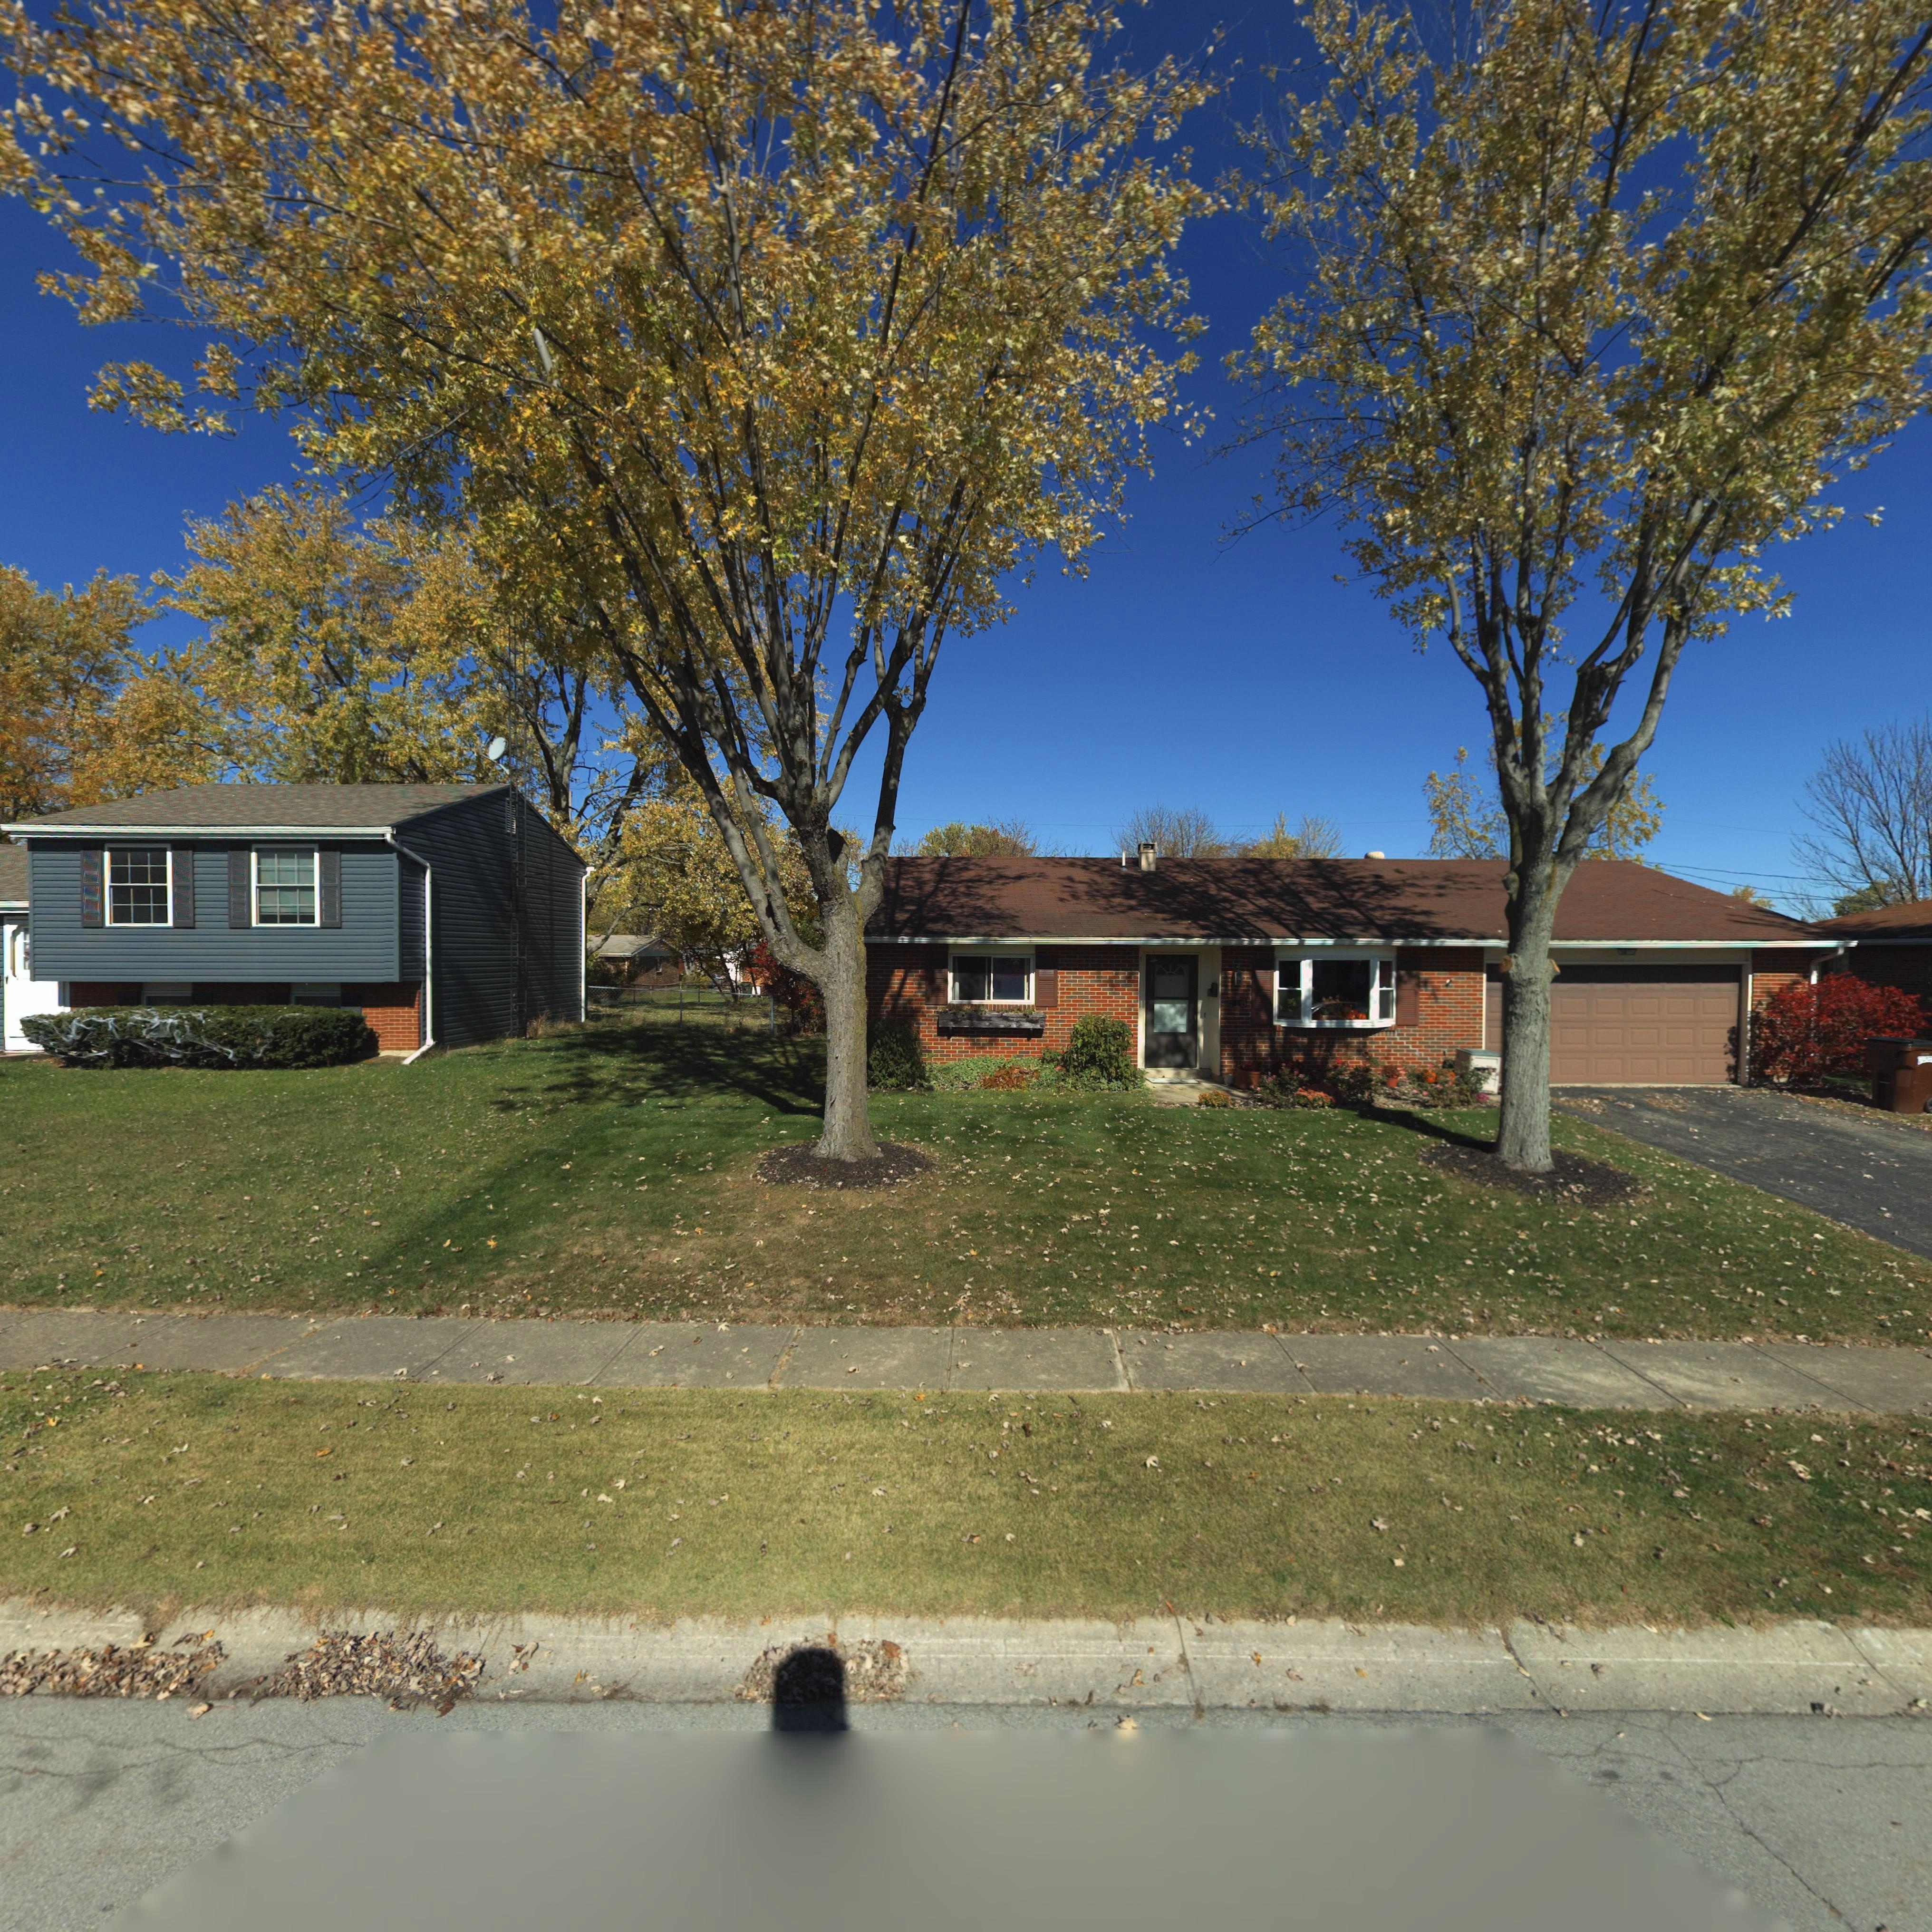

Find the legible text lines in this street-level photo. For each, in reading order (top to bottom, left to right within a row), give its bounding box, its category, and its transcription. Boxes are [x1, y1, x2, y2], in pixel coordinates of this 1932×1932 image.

[1229, 1001, 1245, 1007] StreetNumber: 217